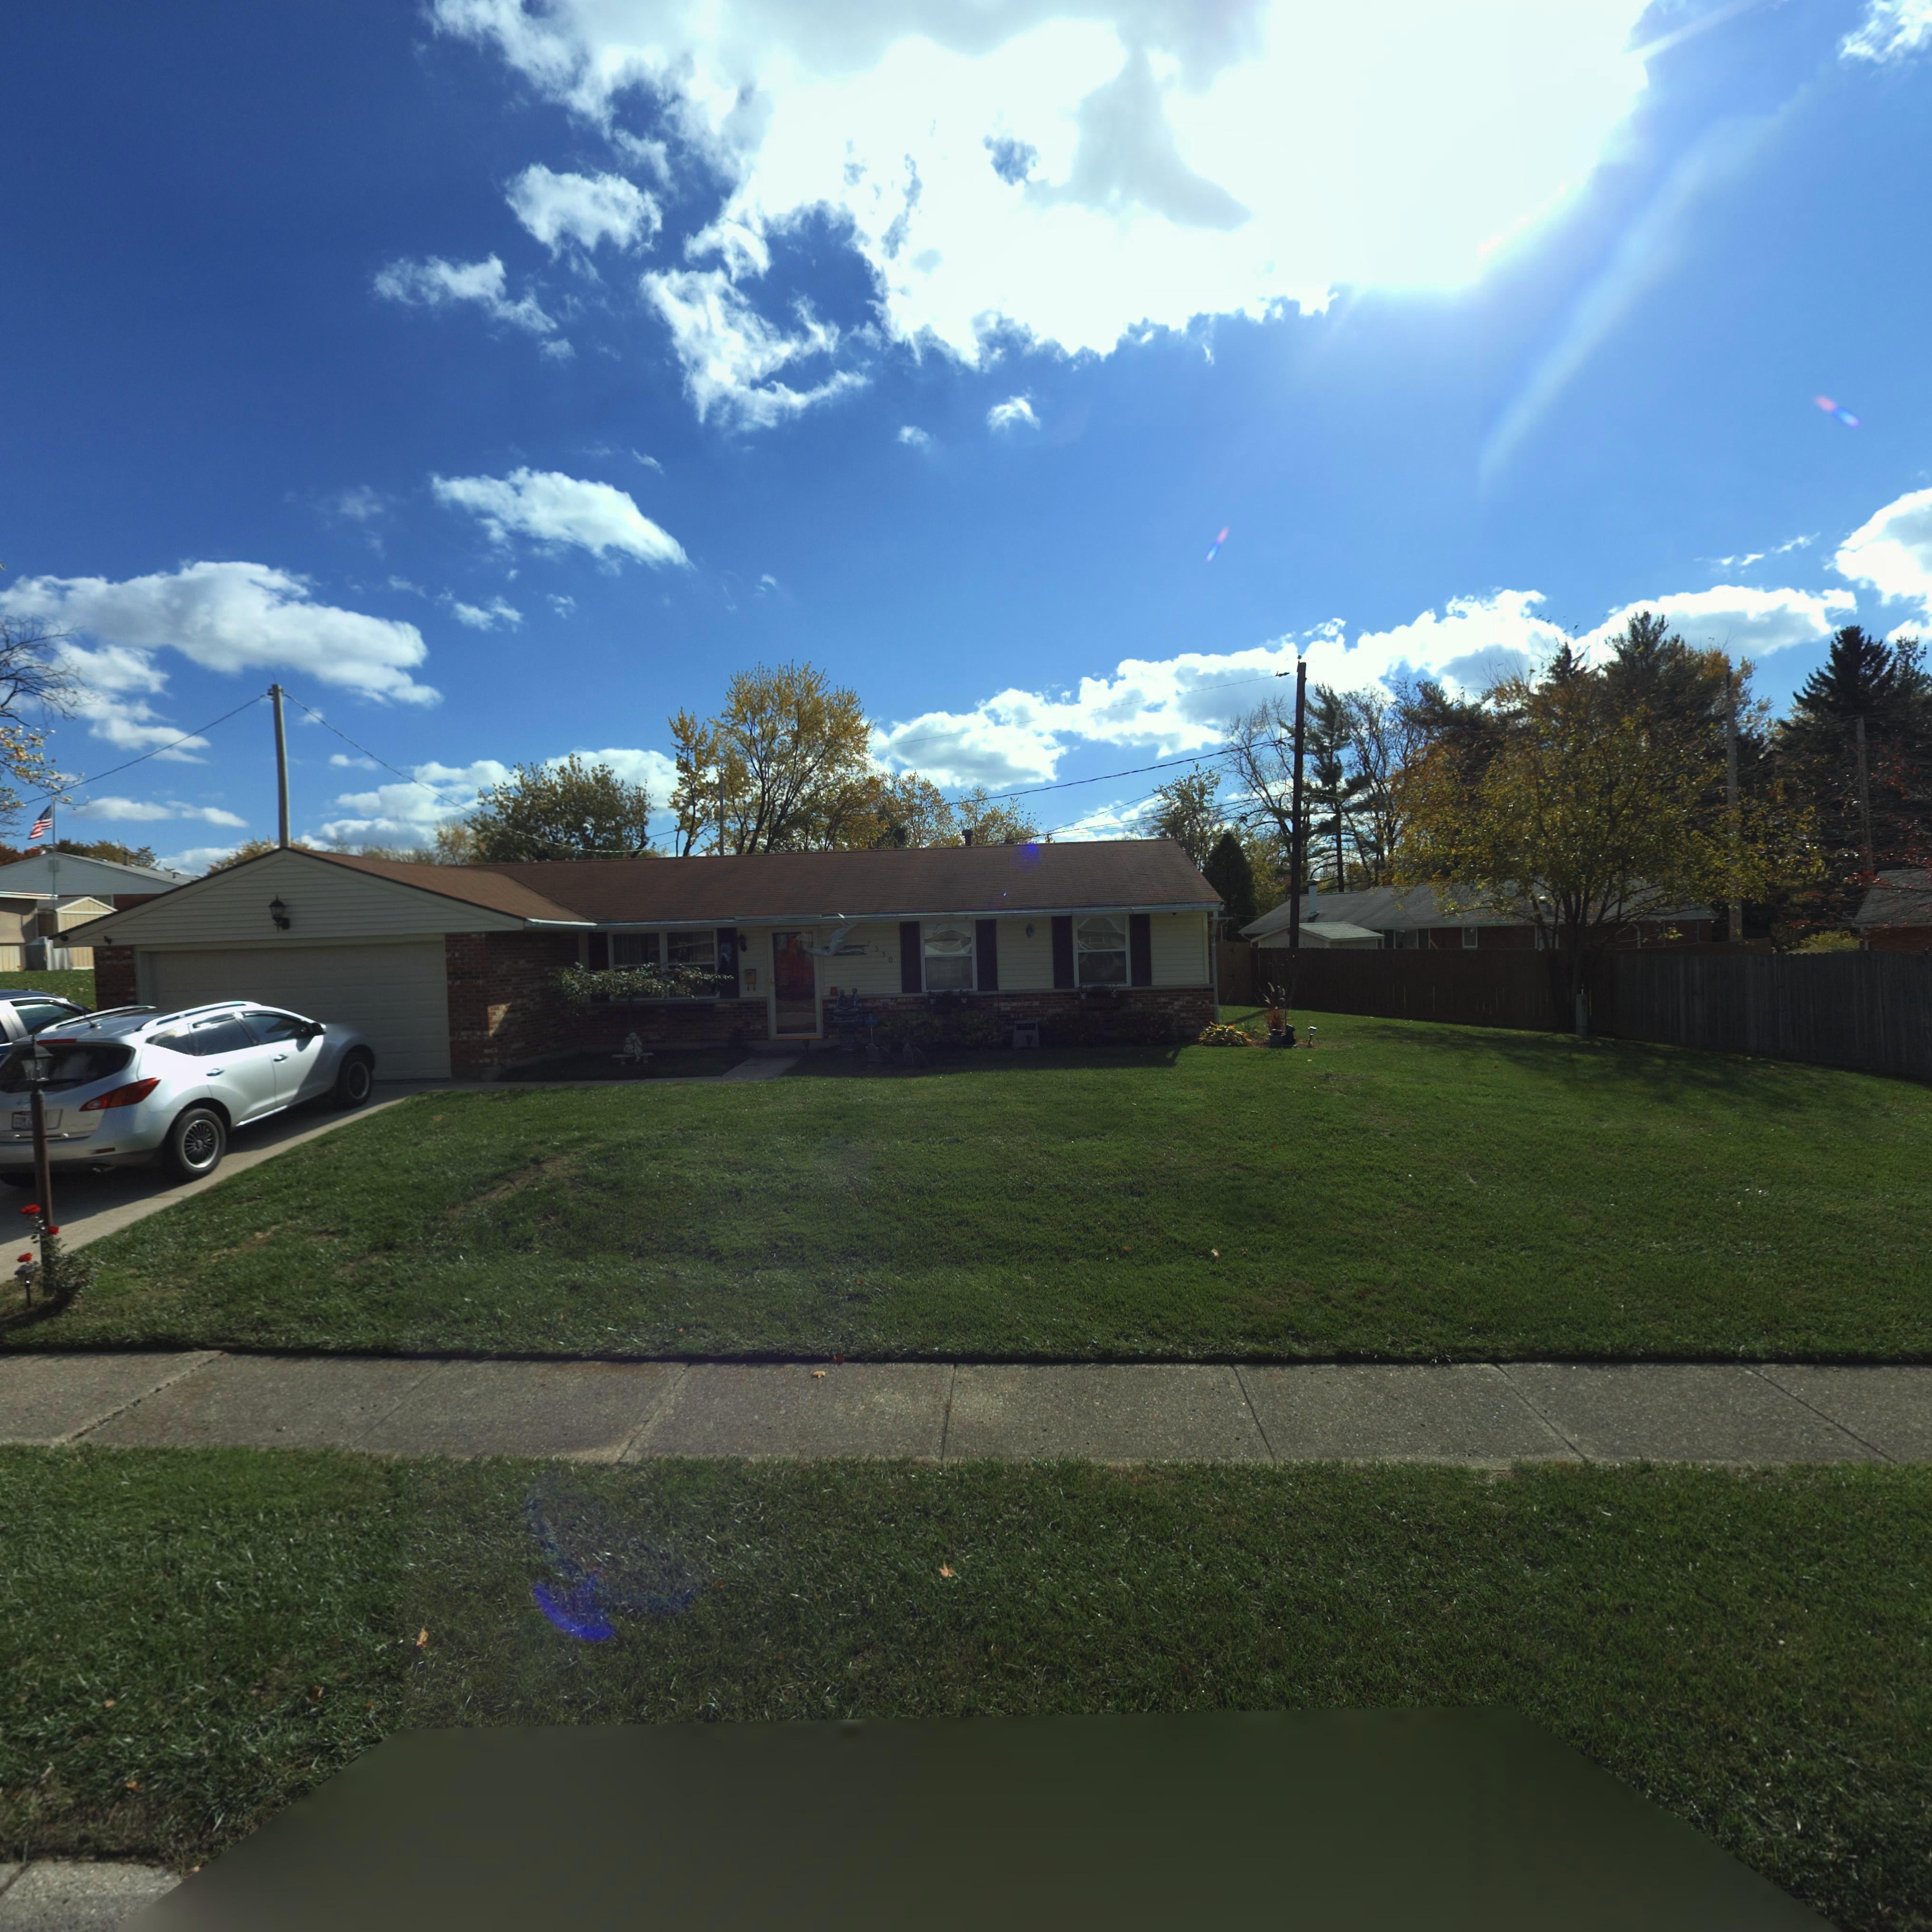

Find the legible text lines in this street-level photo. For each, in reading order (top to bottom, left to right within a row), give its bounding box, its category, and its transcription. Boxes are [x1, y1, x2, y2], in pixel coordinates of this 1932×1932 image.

[867, 940, 893, 964] StreetNumber: 7550